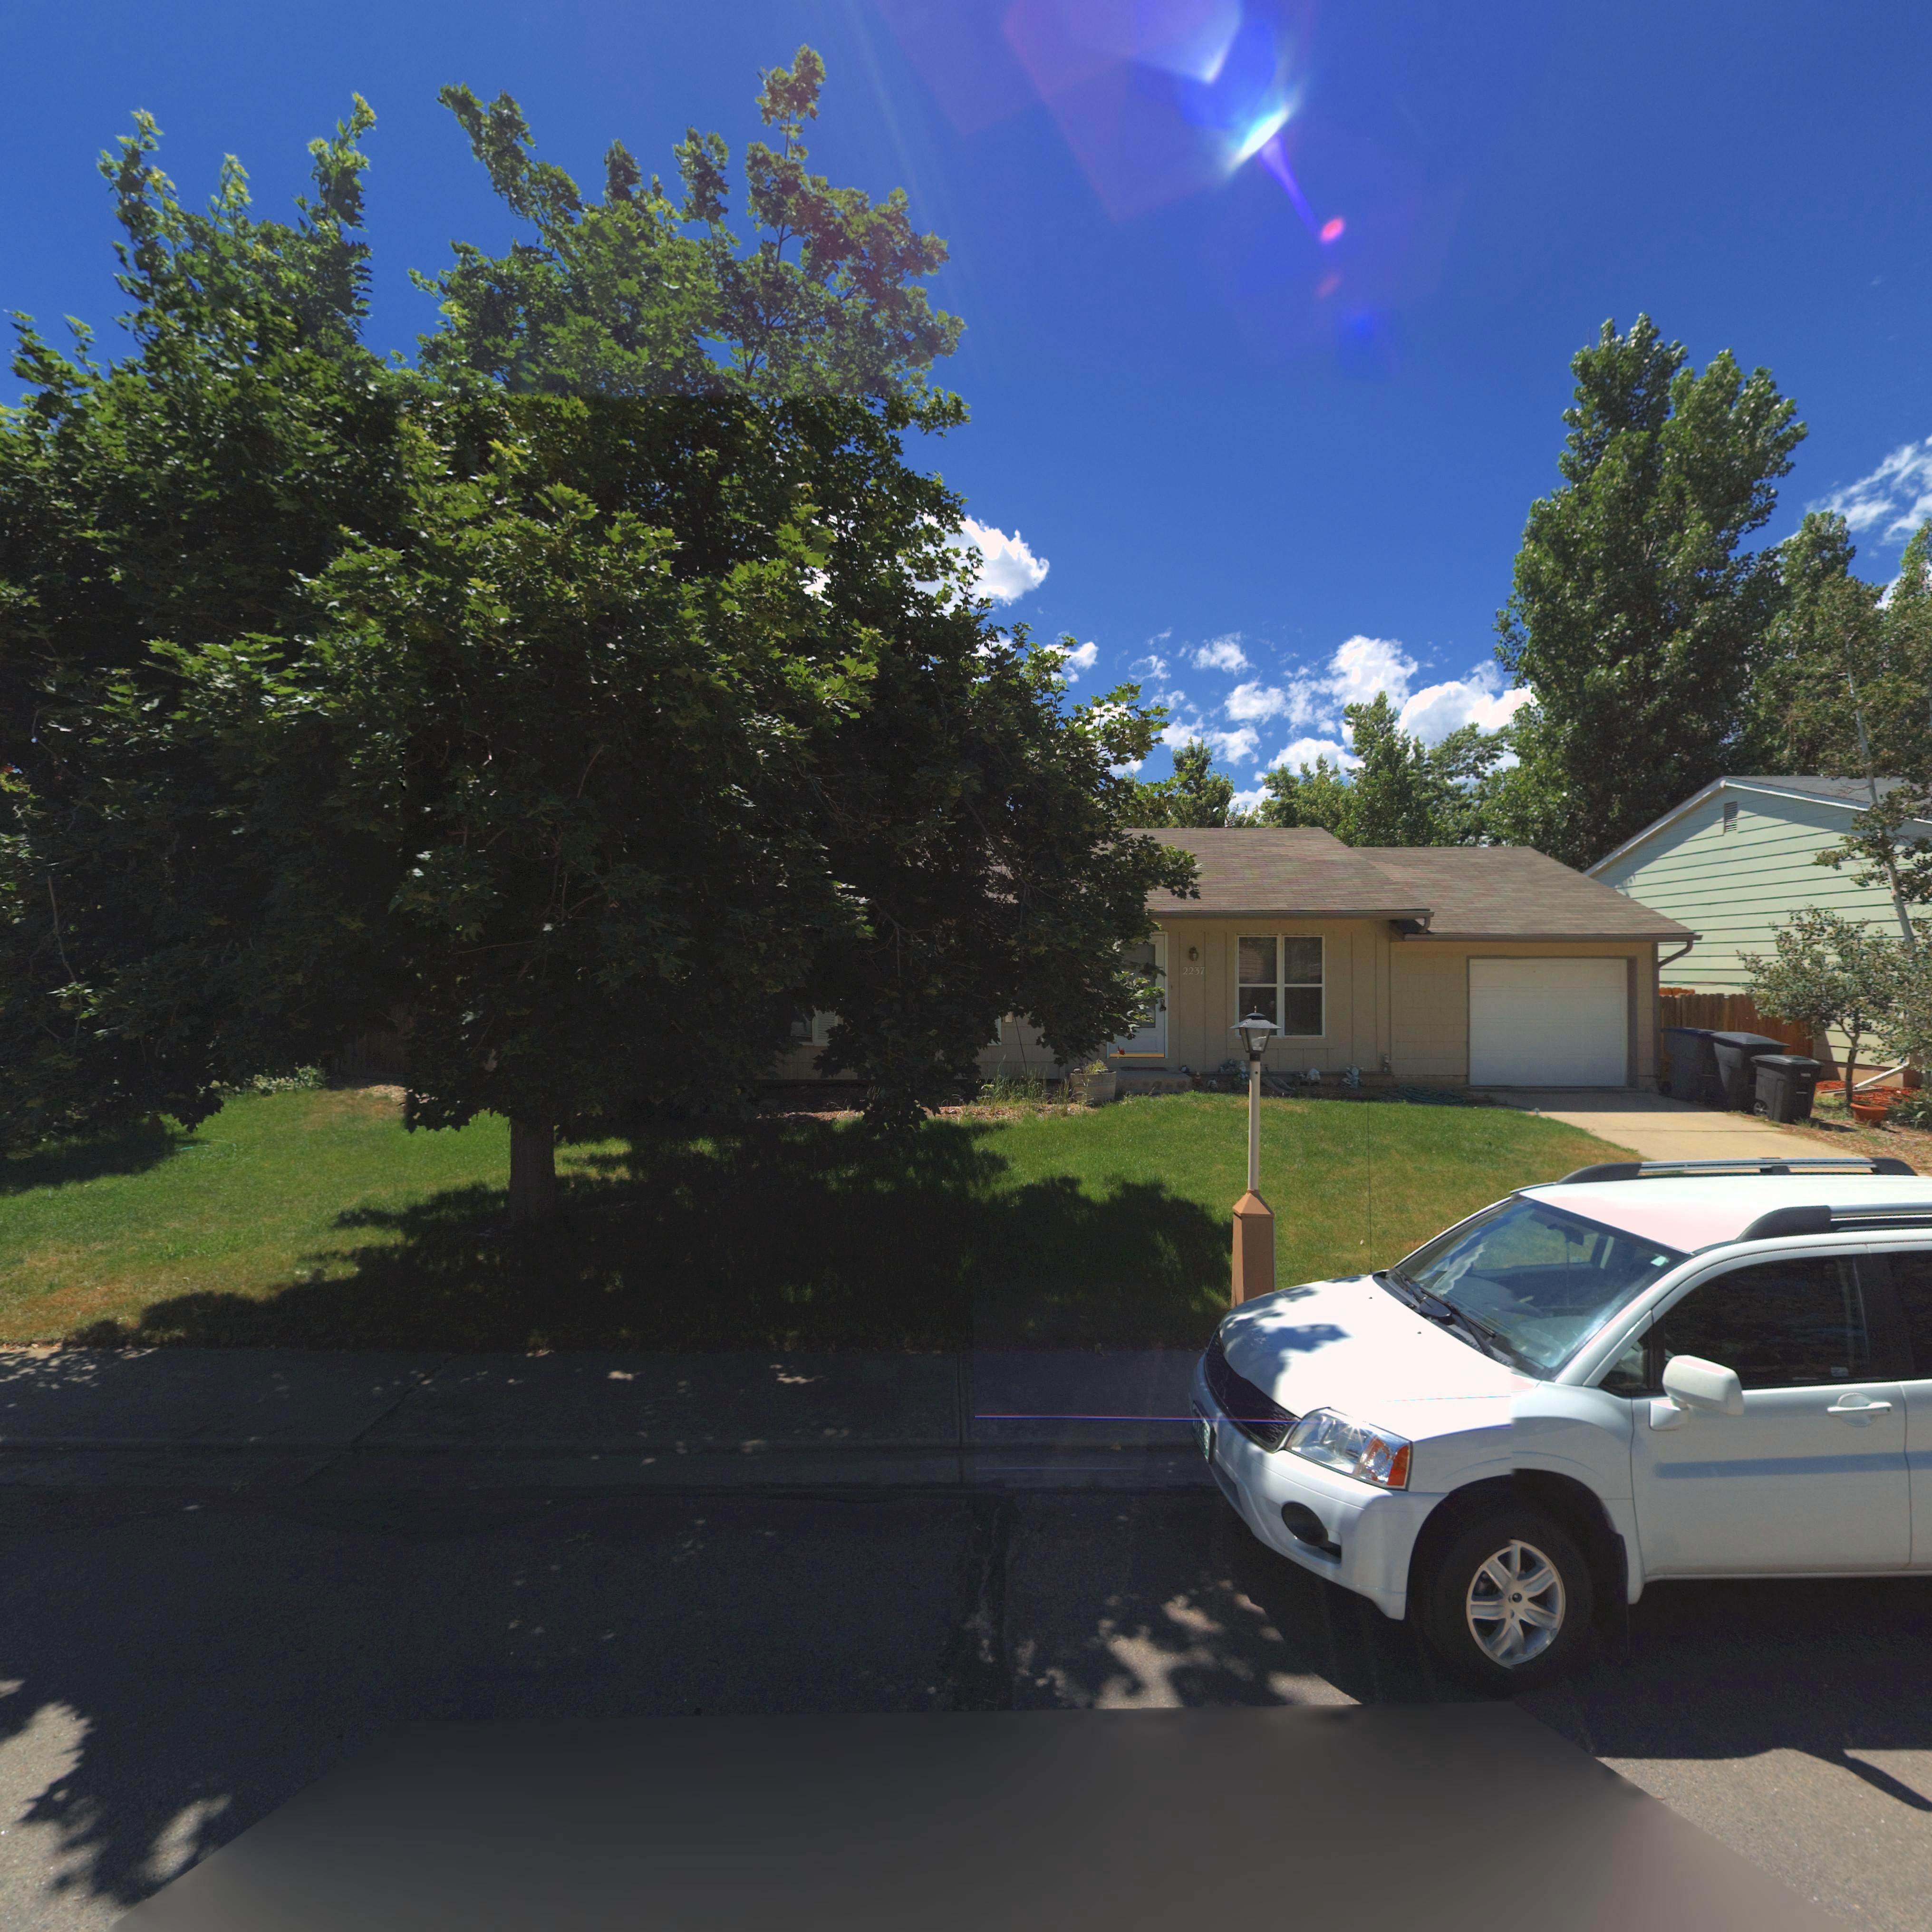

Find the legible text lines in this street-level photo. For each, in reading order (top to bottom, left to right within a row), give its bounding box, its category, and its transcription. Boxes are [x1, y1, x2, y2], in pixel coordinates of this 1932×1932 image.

[1182, 966, 1205, 975] StreetNumber: 2237